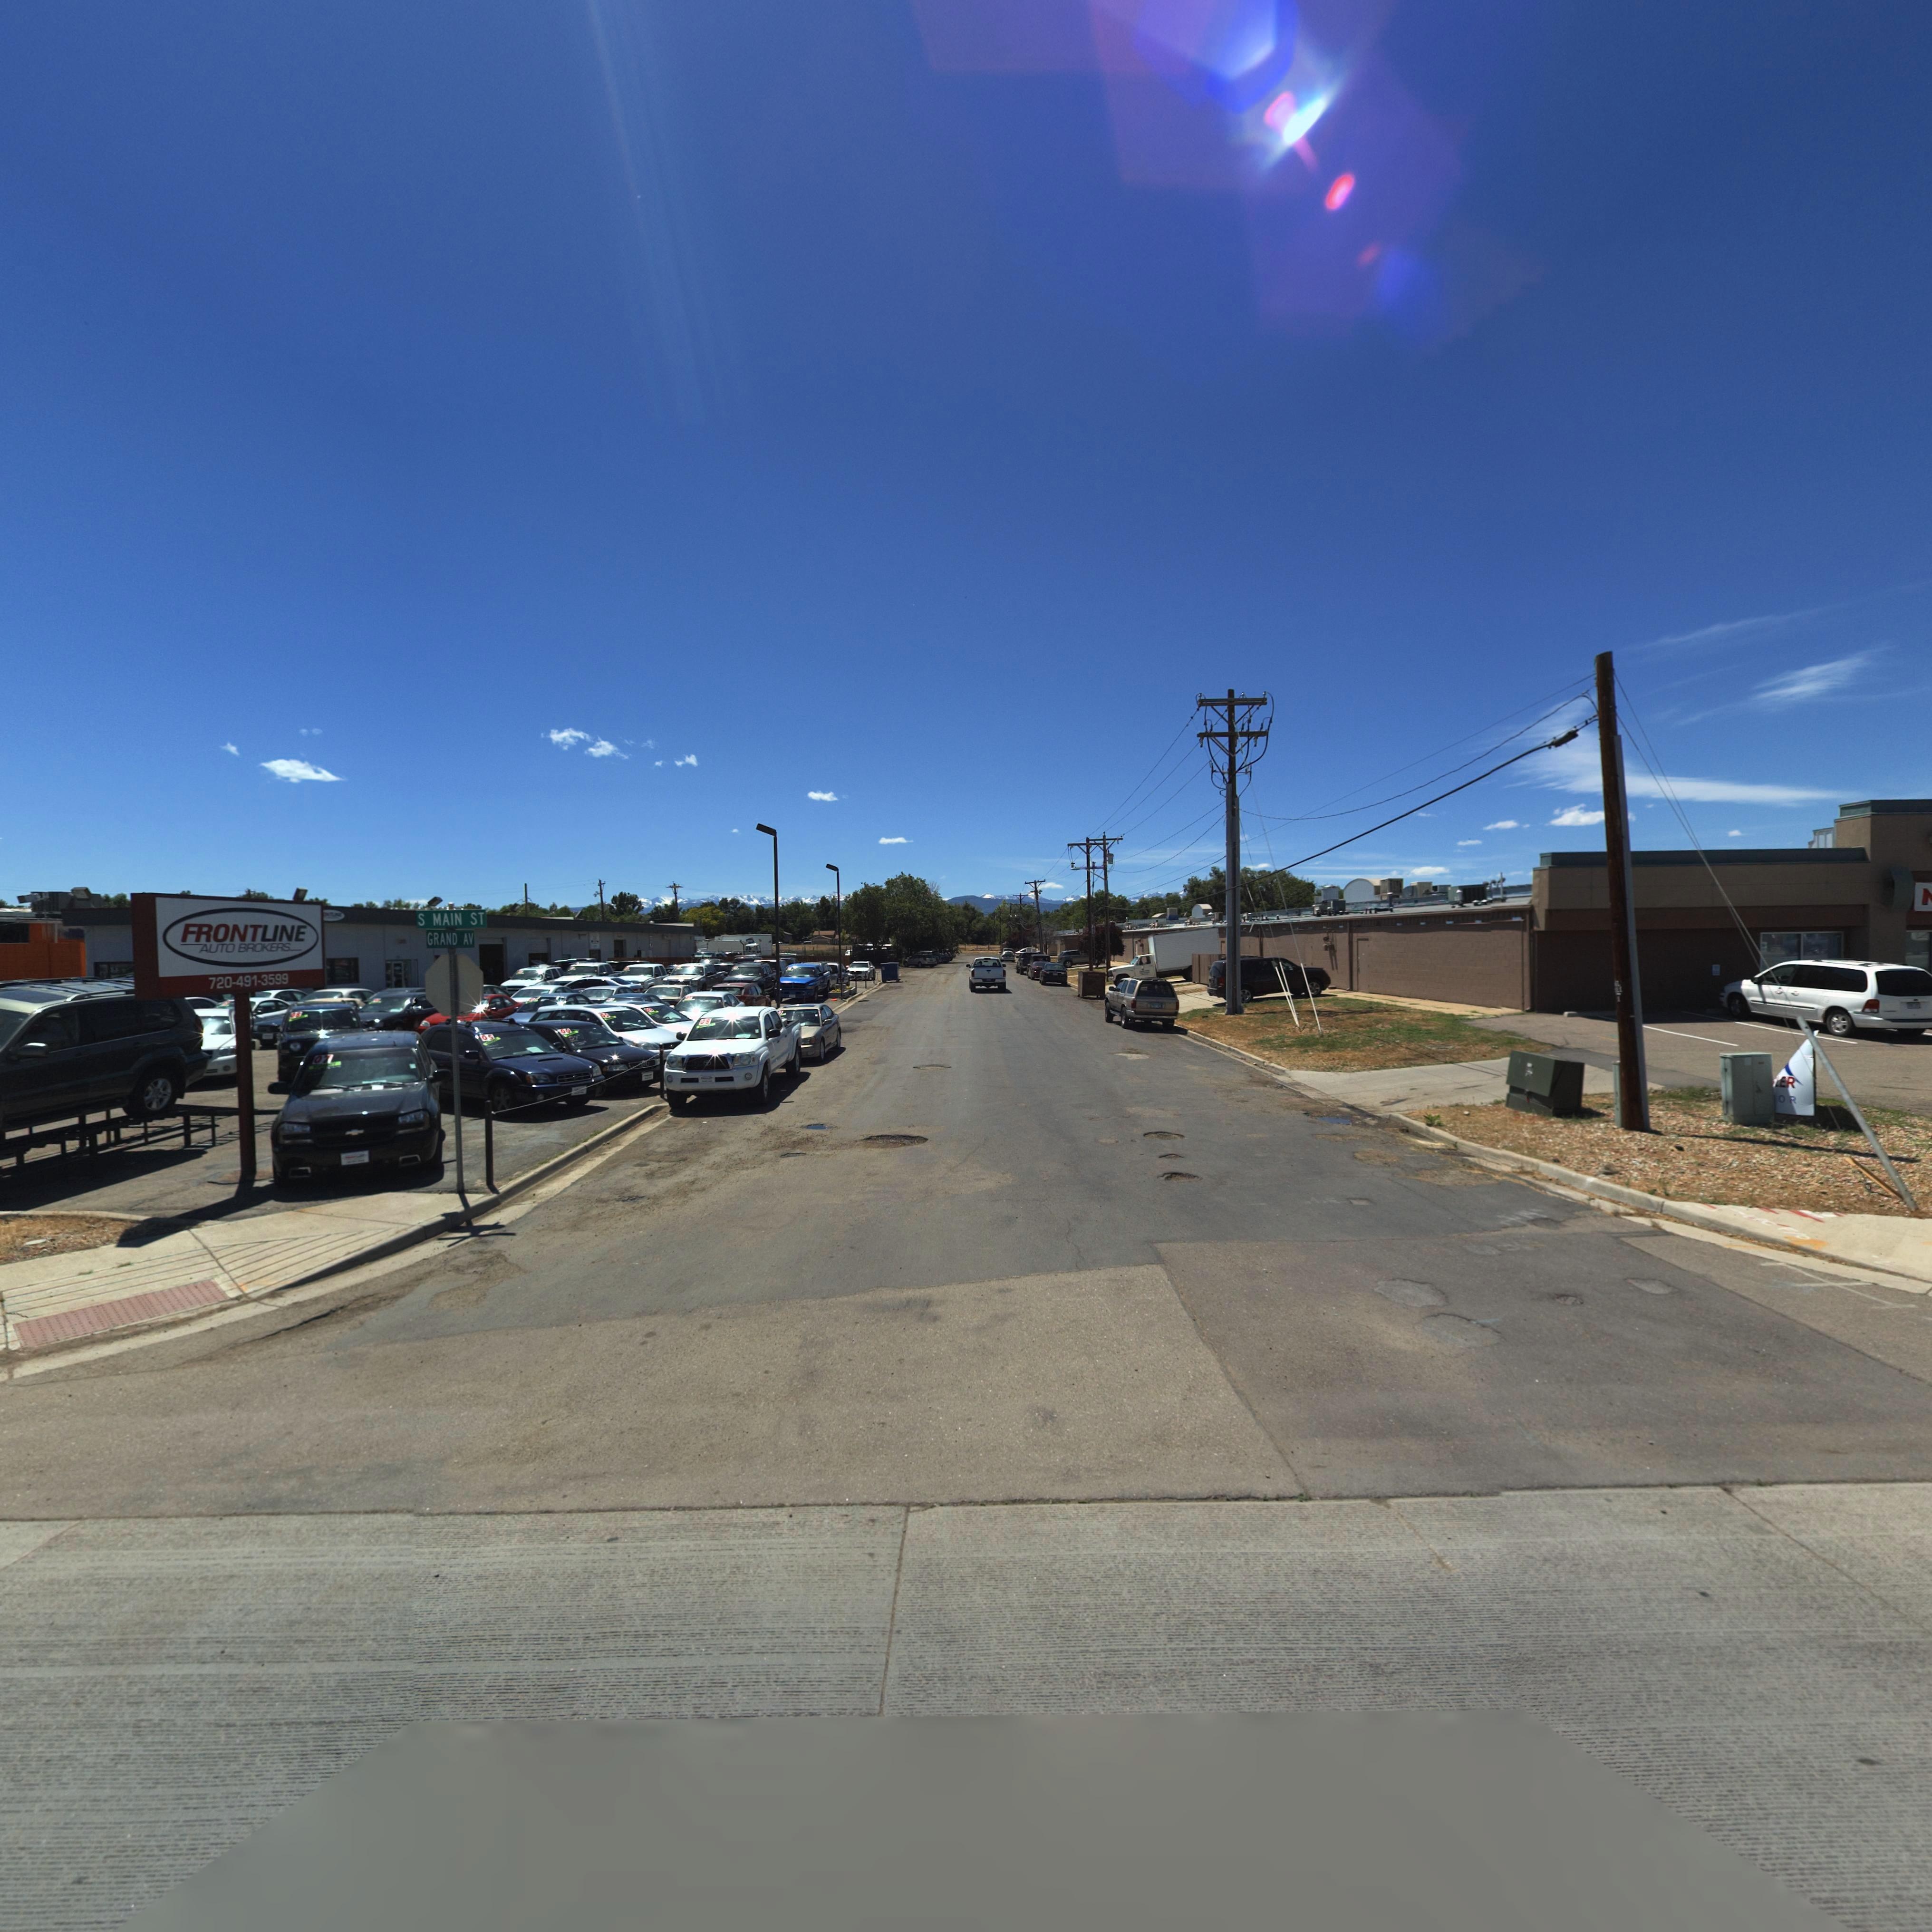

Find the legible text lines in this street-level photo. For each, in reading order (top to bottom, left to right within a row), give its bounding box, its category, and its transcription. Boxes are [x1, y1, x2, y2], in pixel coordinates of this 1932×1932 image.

[324, 912, 342, 917] BusinessName: **L**E
[417, 911, 485, 927] StreetName: S MAIN ST
[180, 922, 307, 943] BusinessName: FRONTLINE
[426, 932, 474, 946] StreetName: GRAND AV
[197, 942, 291, 953] BusinessName: AUTO BROKERS